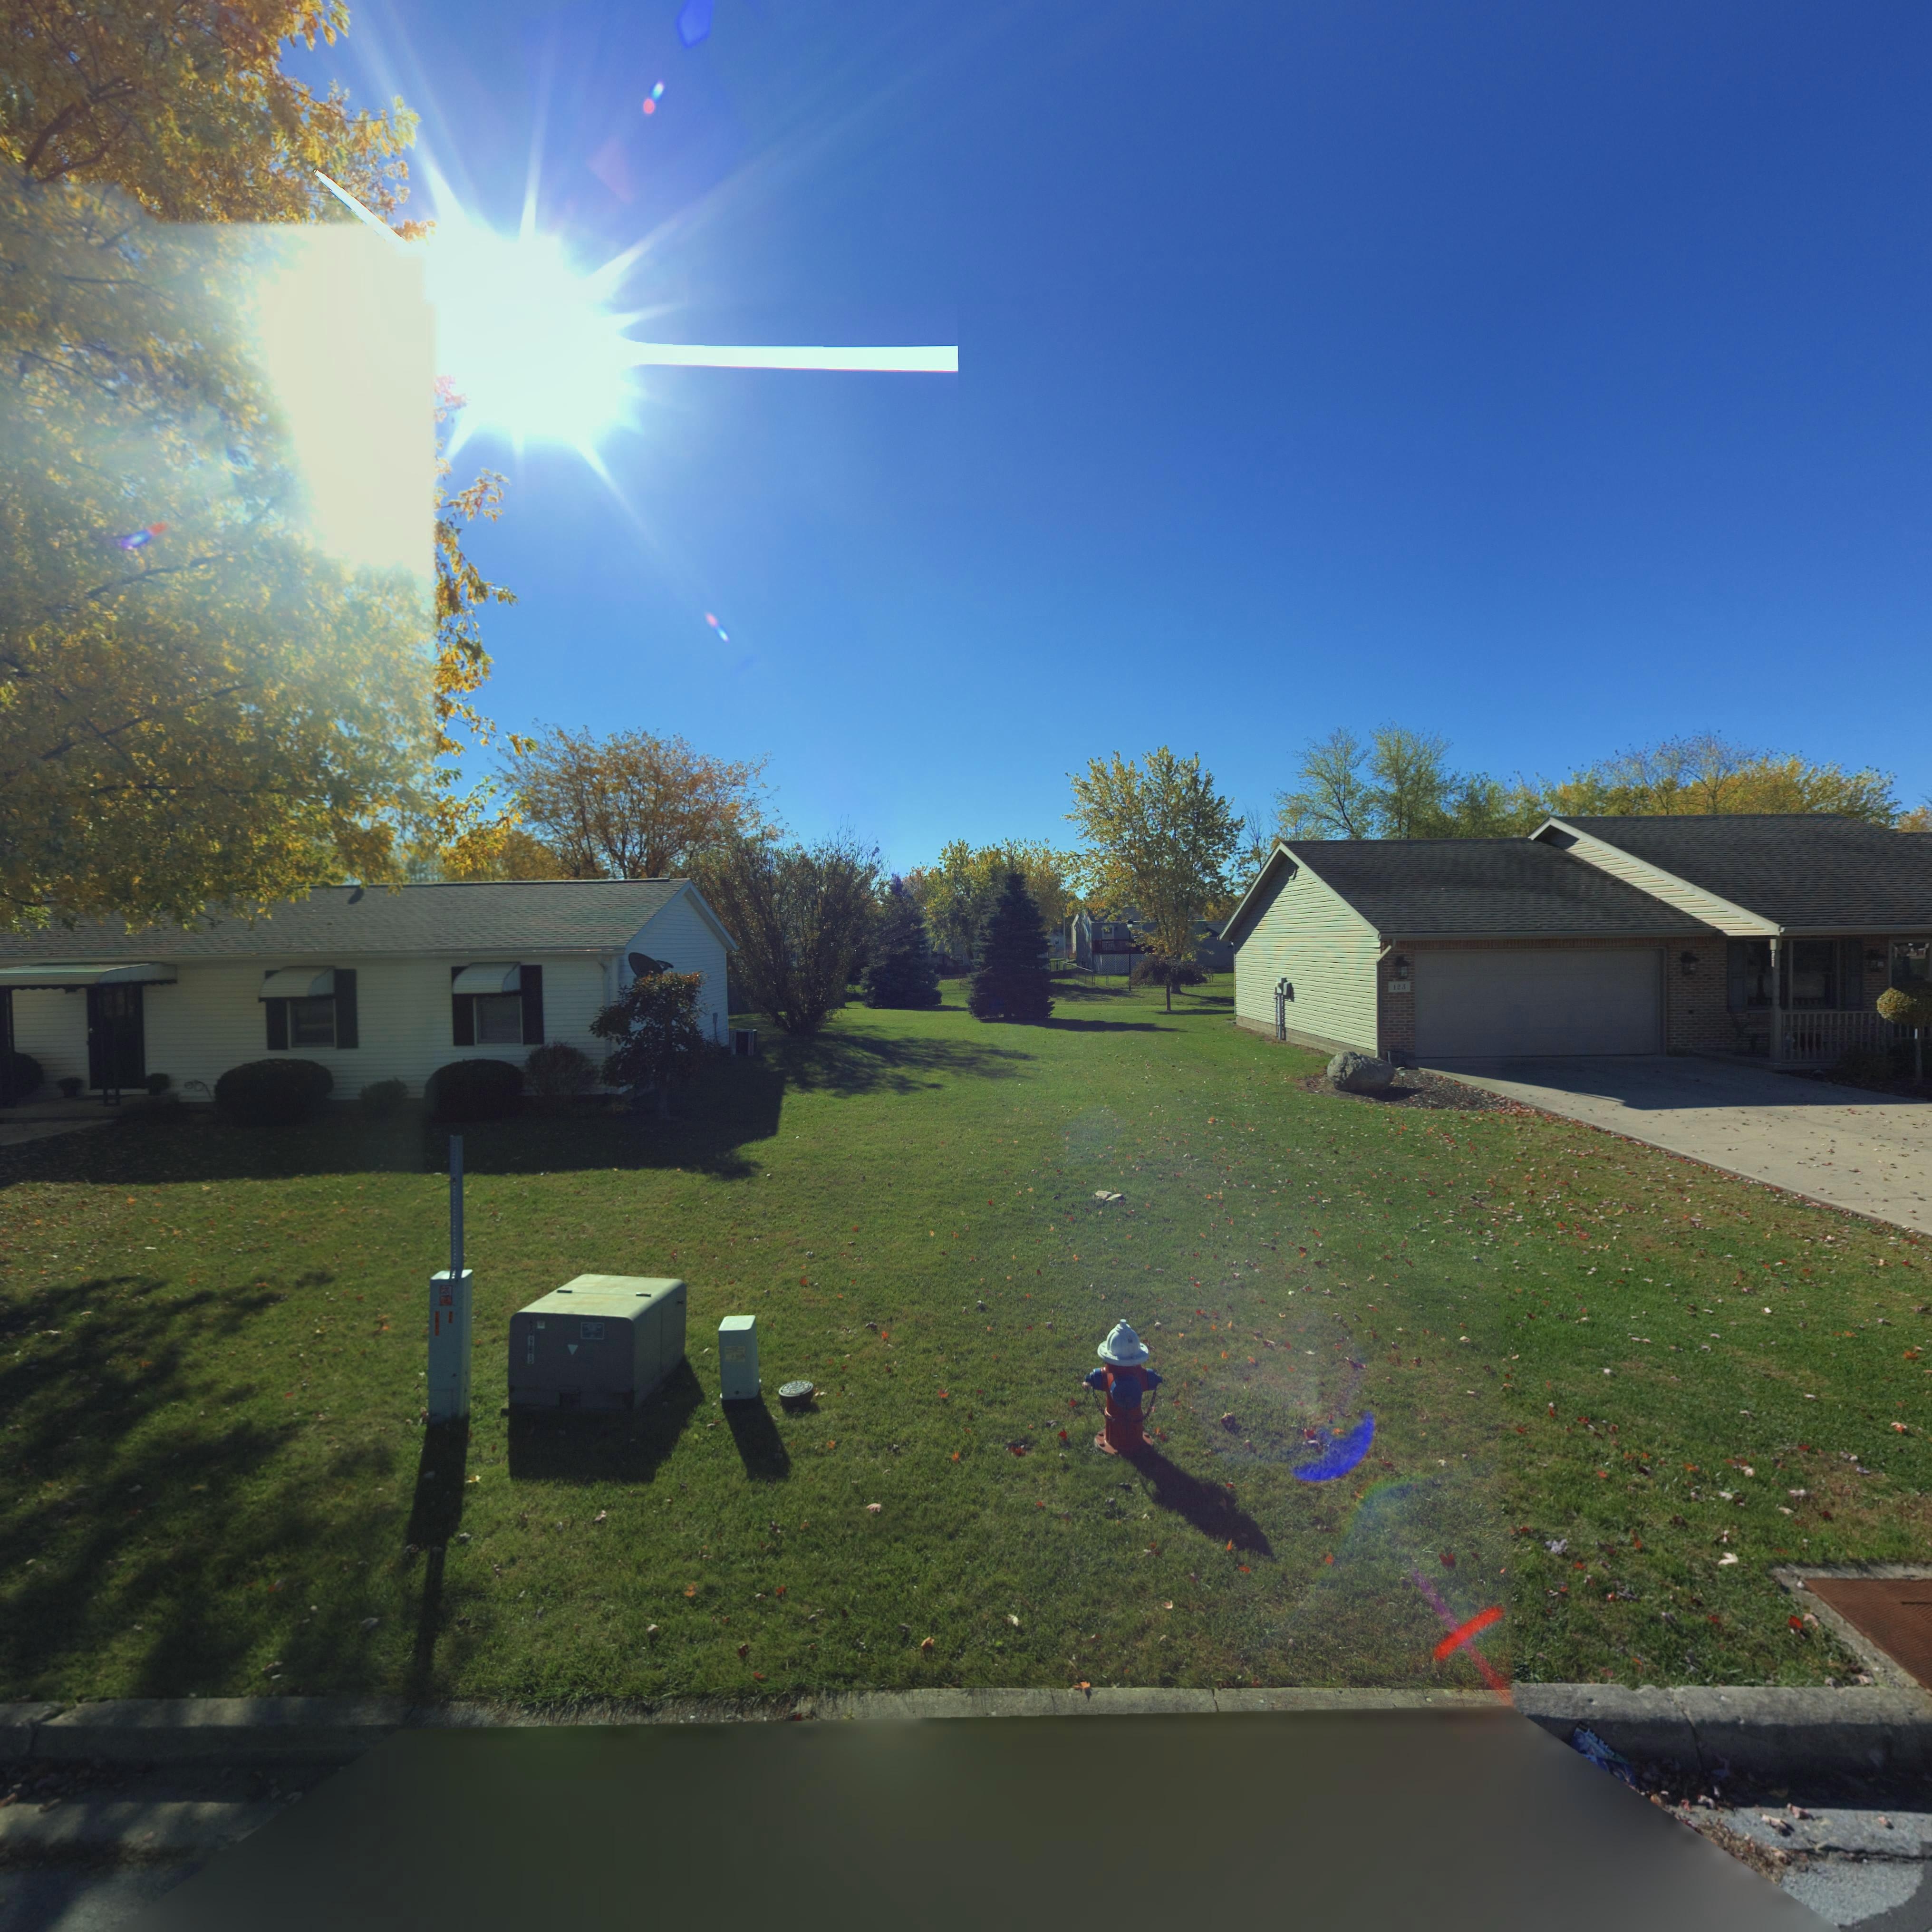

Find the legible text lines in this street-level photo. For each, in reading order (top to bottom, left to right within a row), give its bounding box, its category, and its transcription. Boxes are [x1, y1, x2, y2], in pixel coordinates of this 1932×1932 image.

[1392, 983, 1406, 990] StreetNumber: 123